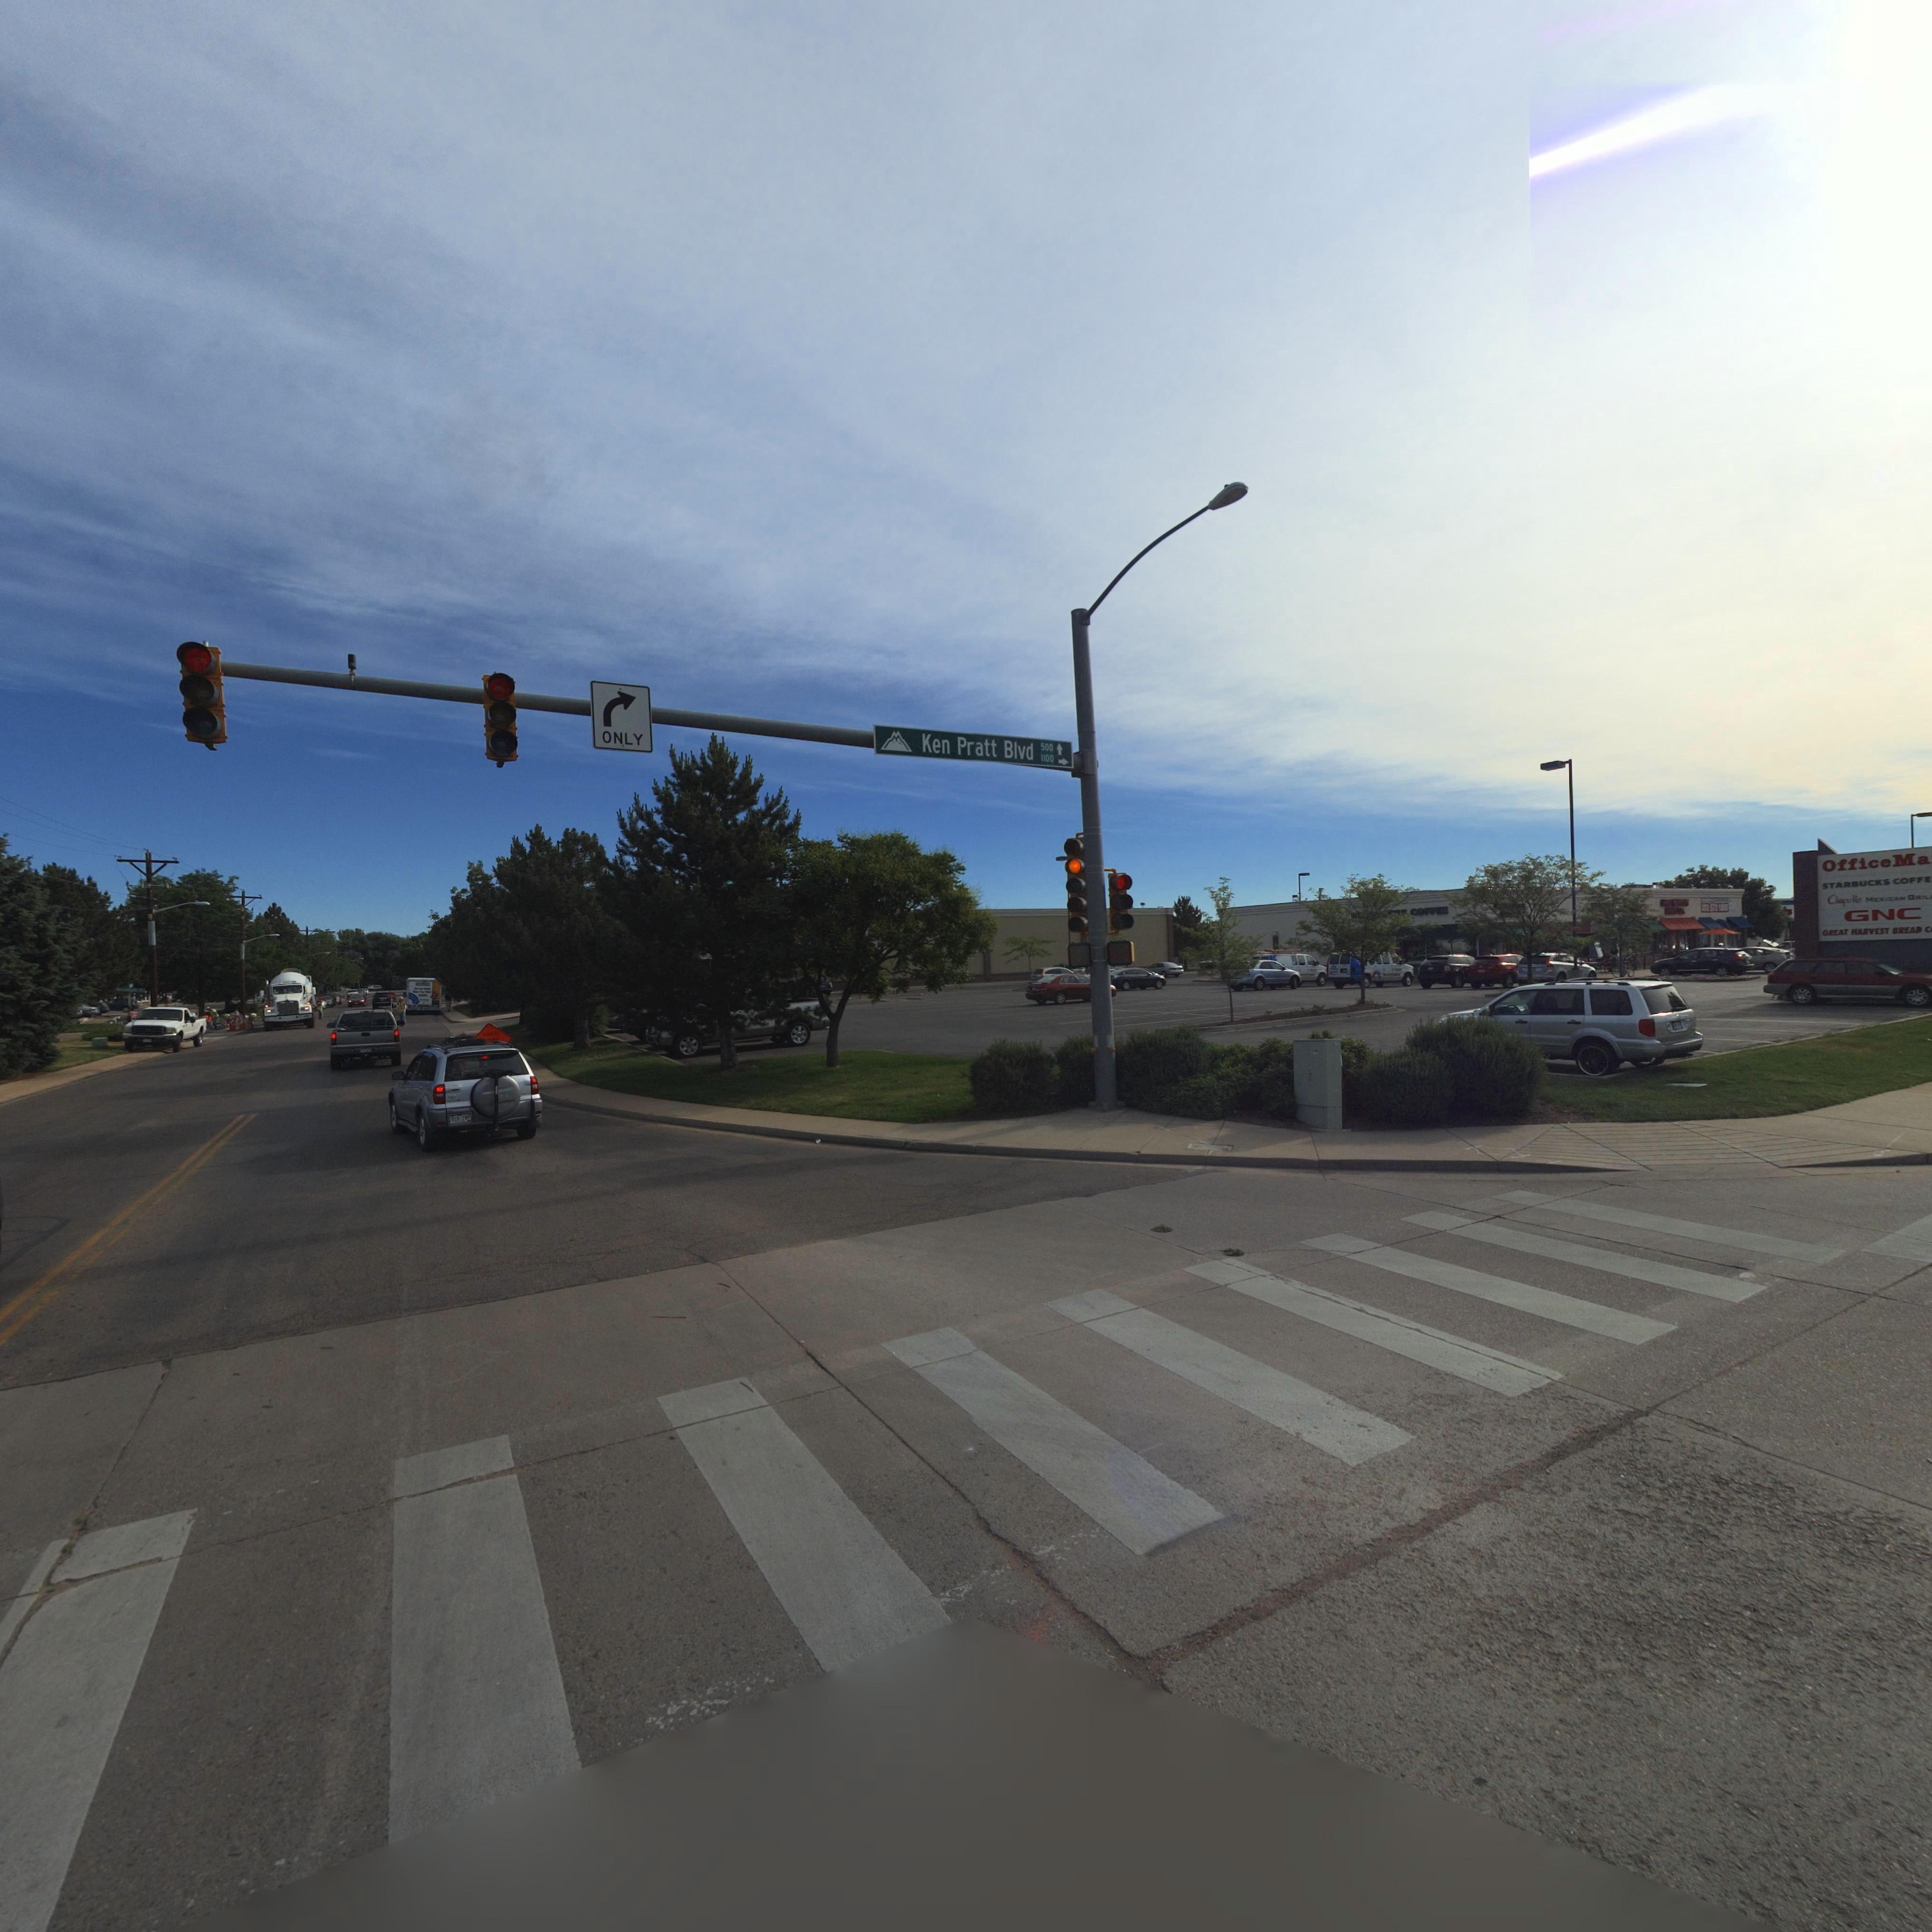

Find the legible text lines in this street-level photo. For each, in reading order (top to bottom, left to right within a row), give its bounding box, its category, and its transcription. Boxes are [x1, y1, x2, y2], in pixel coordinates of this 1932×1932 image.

[920, 733, 1034, 761] StreetName: Ken Pratt Blvd
[1040, 742, 1053, 752] StreetNumberRange: 500
[1040, 753, 1069, 766] StreetNumberRange: 1100->
[1821, 852, 1931, 872] BusinessName: Office Ma
[1822, 875, 1931, 890] BusinessName: STARBUCKS COFFE
[1827, 893, 1930, 908] BusinessName: C***otle MEXICAN GRIL
[1409, 905, 1449, 917] BusinessName: CO***E
[1843, 906, 1922, 922] BusinessName: GNC
[1821, 925, 1931, 937] BusinessName: GREAT HARVEST BREAD C